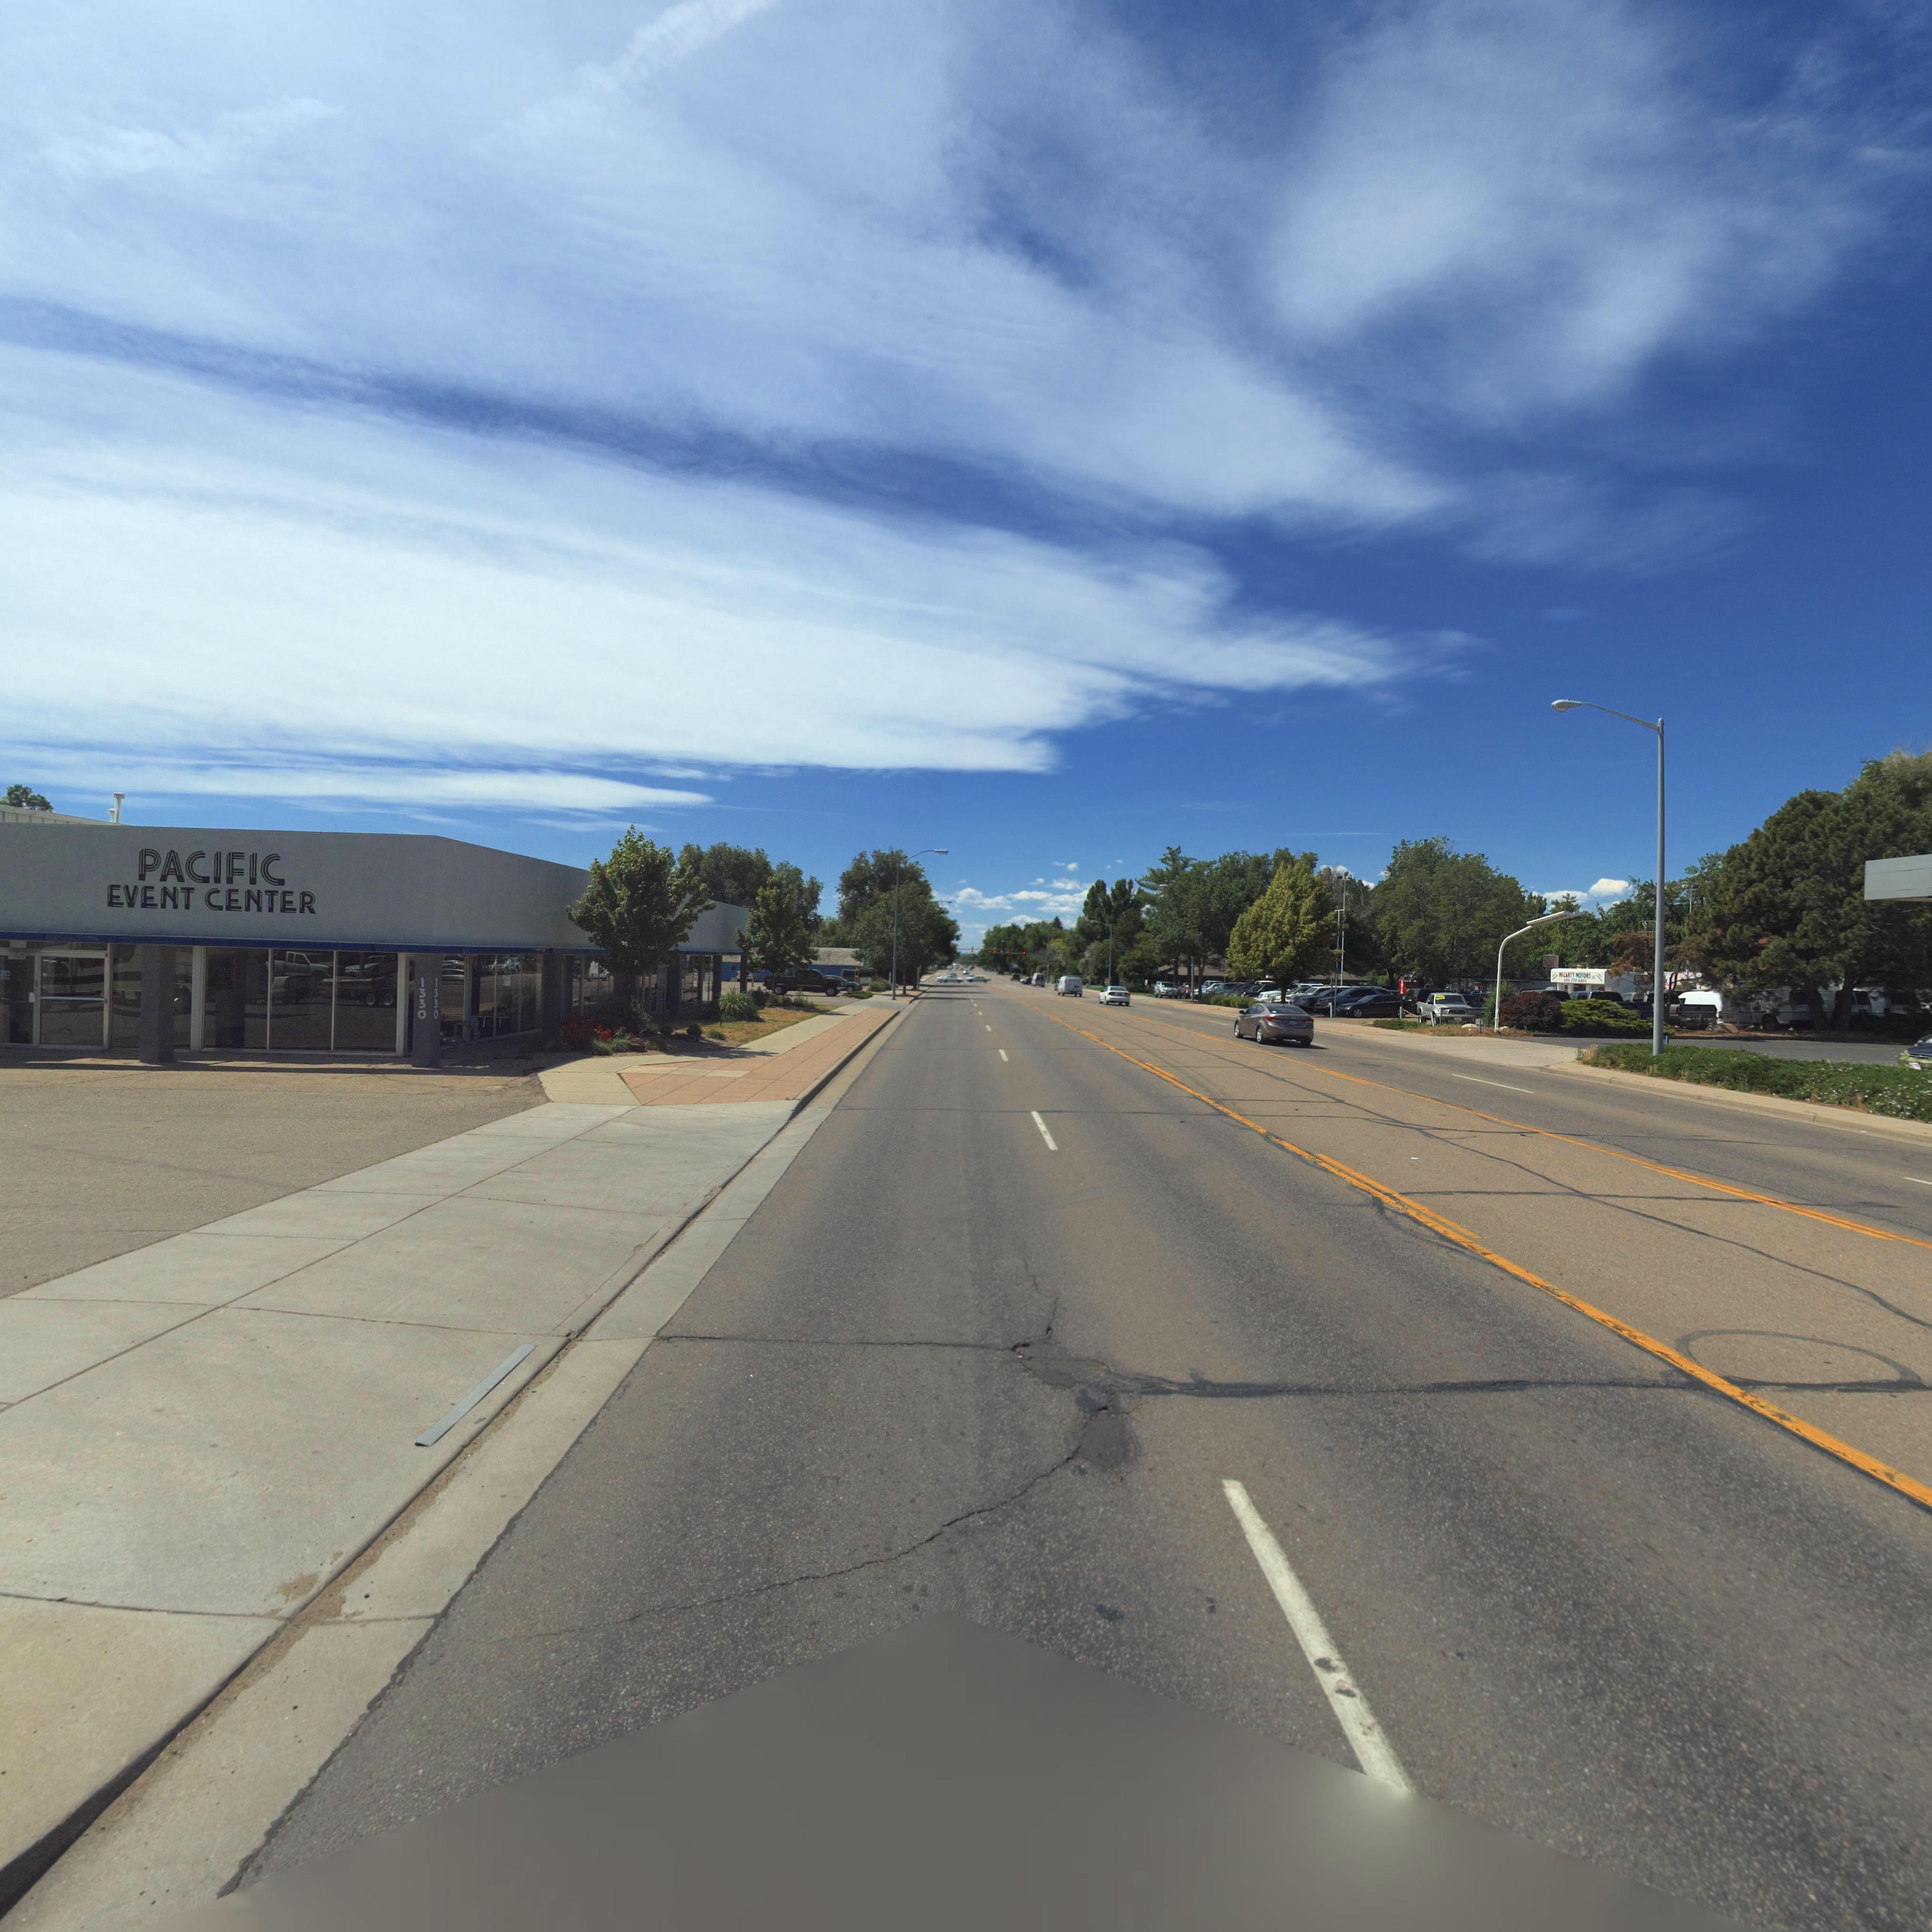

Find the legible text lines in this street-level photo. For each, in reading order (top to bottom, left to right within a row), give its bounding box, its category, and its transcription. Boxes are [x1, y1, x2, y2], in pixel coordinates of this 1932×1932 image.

[136, 847, 286, 886] BusinessName: PACIFIC
[106, 883, 317, 915] BusinessName: EVENT CENTER
[1559, 972, 1591, 978] BusinessName: M*CARTY M**ORS
[416, 976, 427, 1020] StreetNumber: 1330
[433, 976, 439, 1020] StreetNumber: 1330